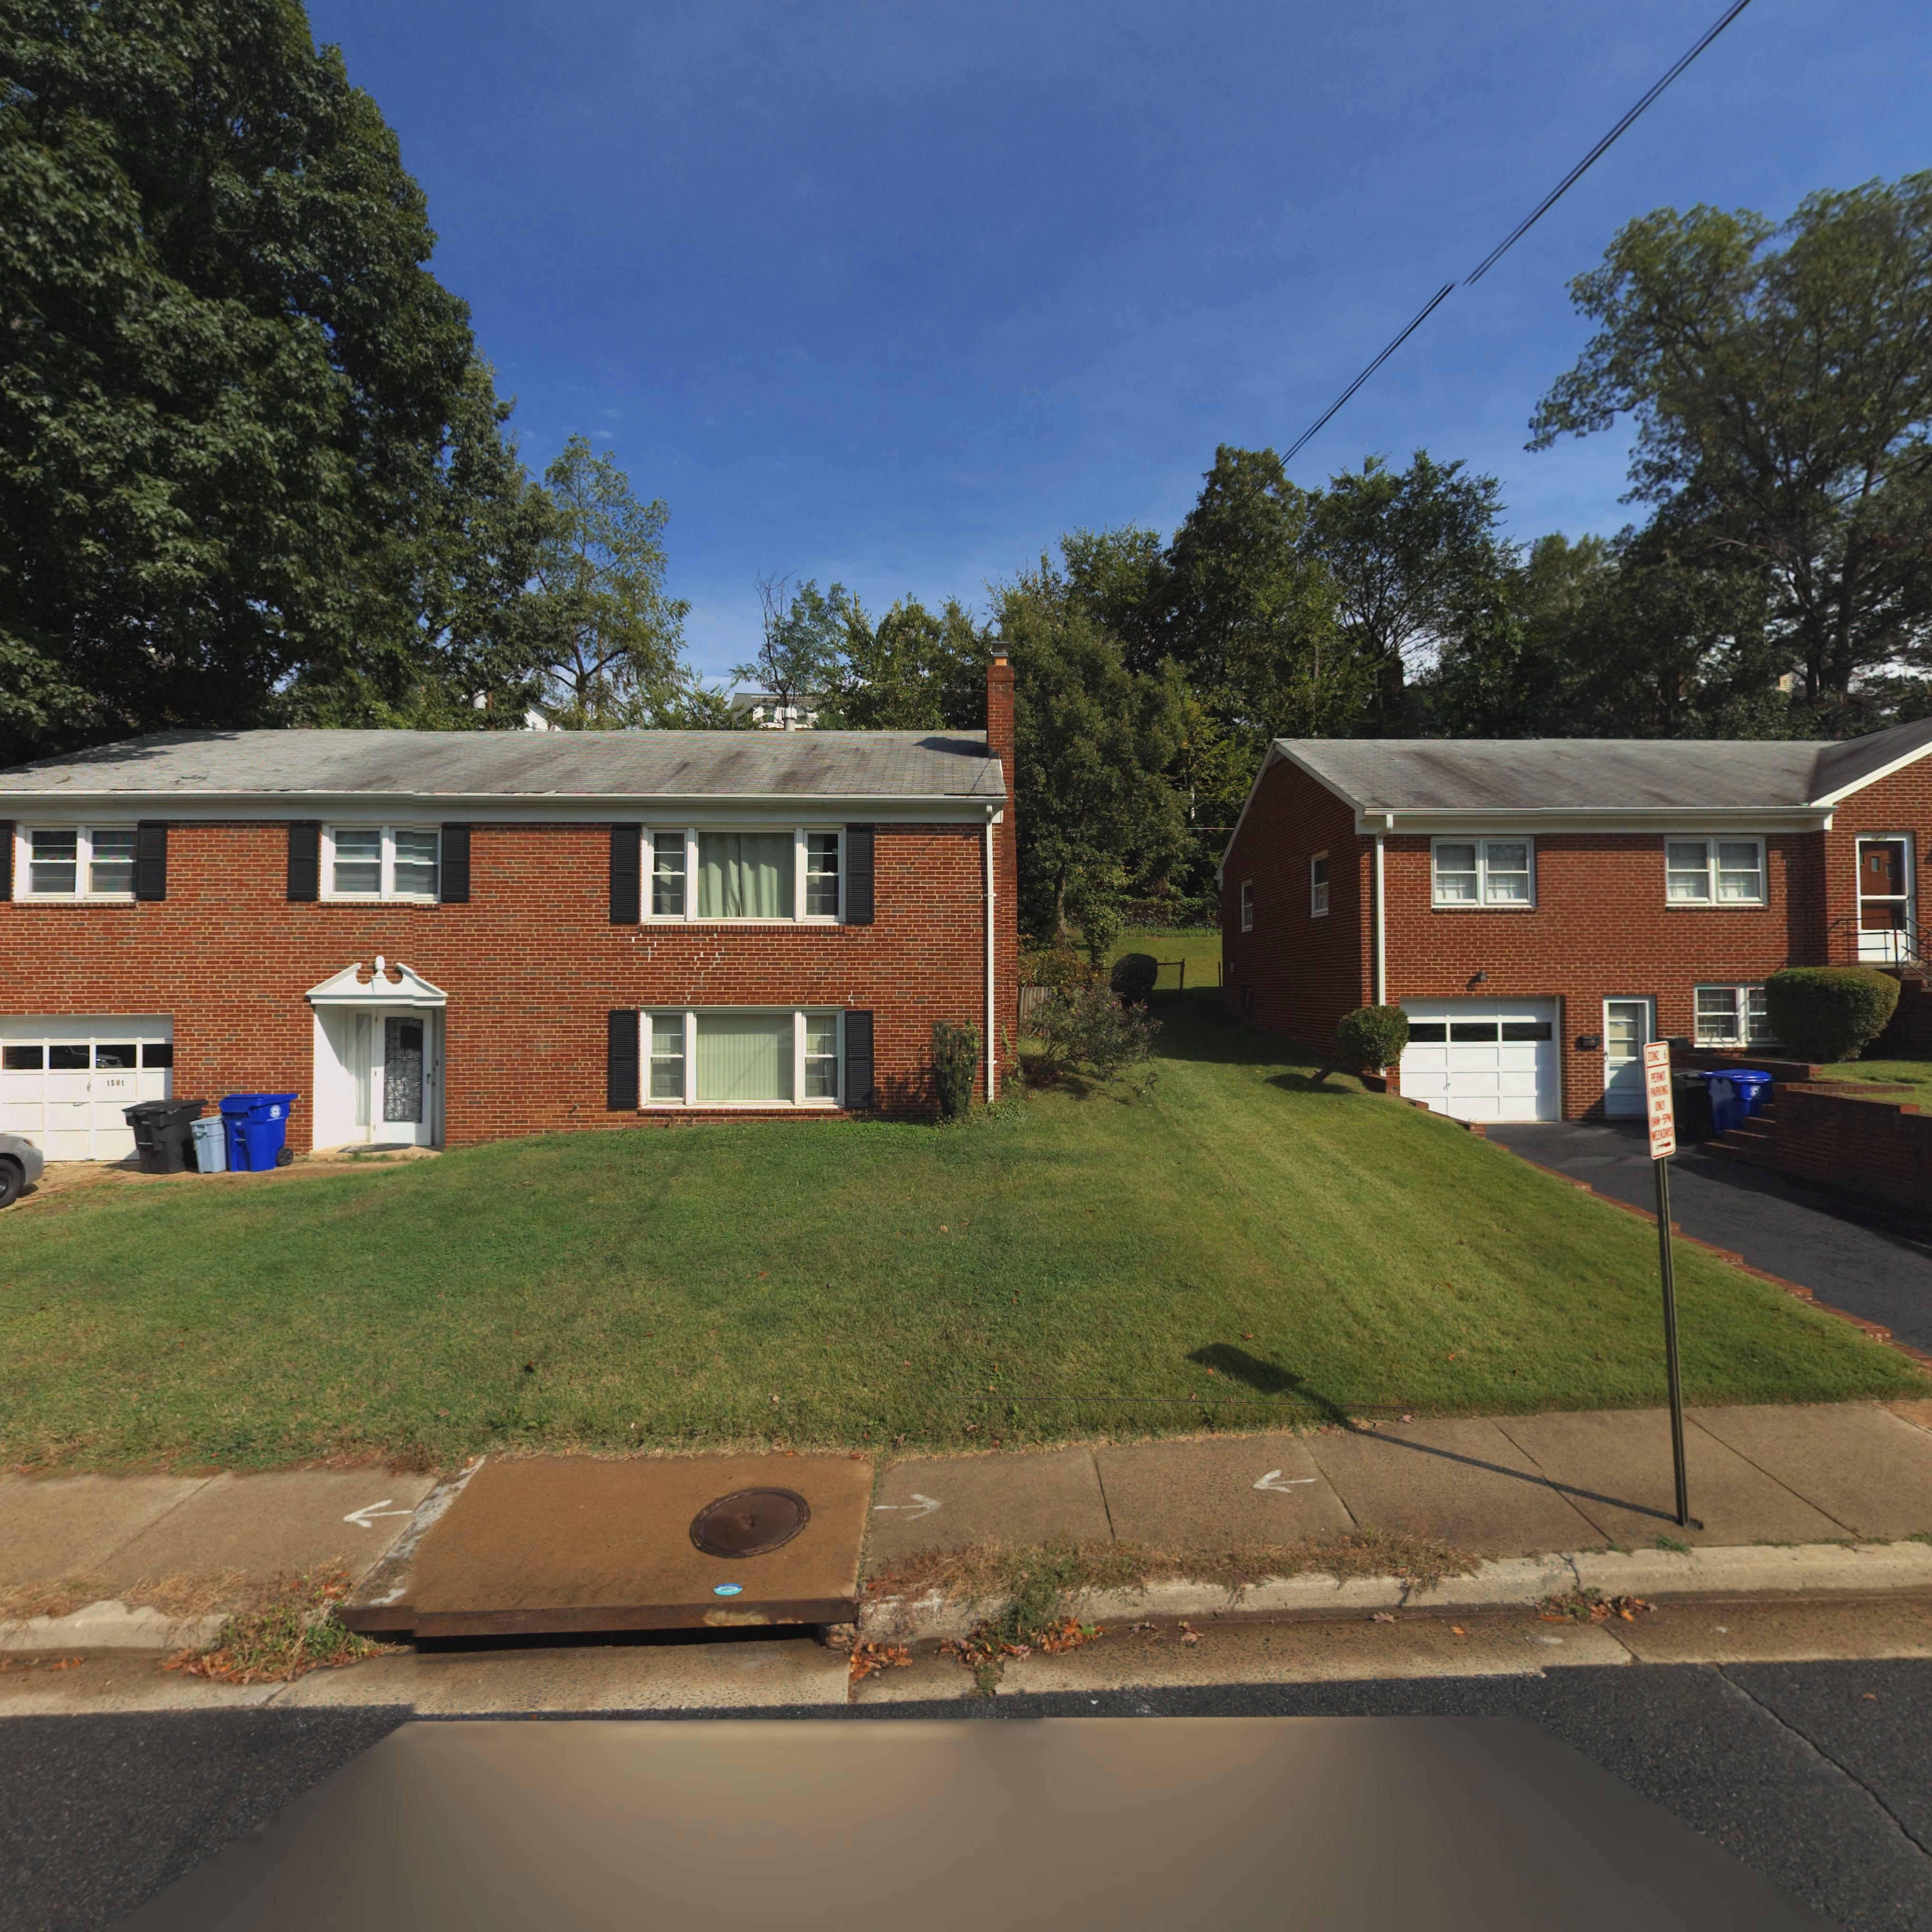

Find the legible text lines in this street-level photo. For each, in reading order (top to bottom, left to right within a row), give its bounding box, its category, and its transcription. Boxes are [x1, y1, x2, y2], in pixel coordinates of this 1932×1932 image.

[1870, 834, 1889, 841] StreetNumber: 1***
[1647, 1049, 1667, 1063] None: ZONE 6
[106, 1080, 125, 1087] StreetNumber: 1501
[1650, 1071, 1666, 1084] None: PERMIT
[1650, 1084, 1669, 1099] None: PARKING
[1654, 1099, 1666, 1112] None: ONLY
[1651, 1112, 1672, 1128] None: 8AM-5PM
[1651, 1126, 1674, 1142] None: WEEKDAYS